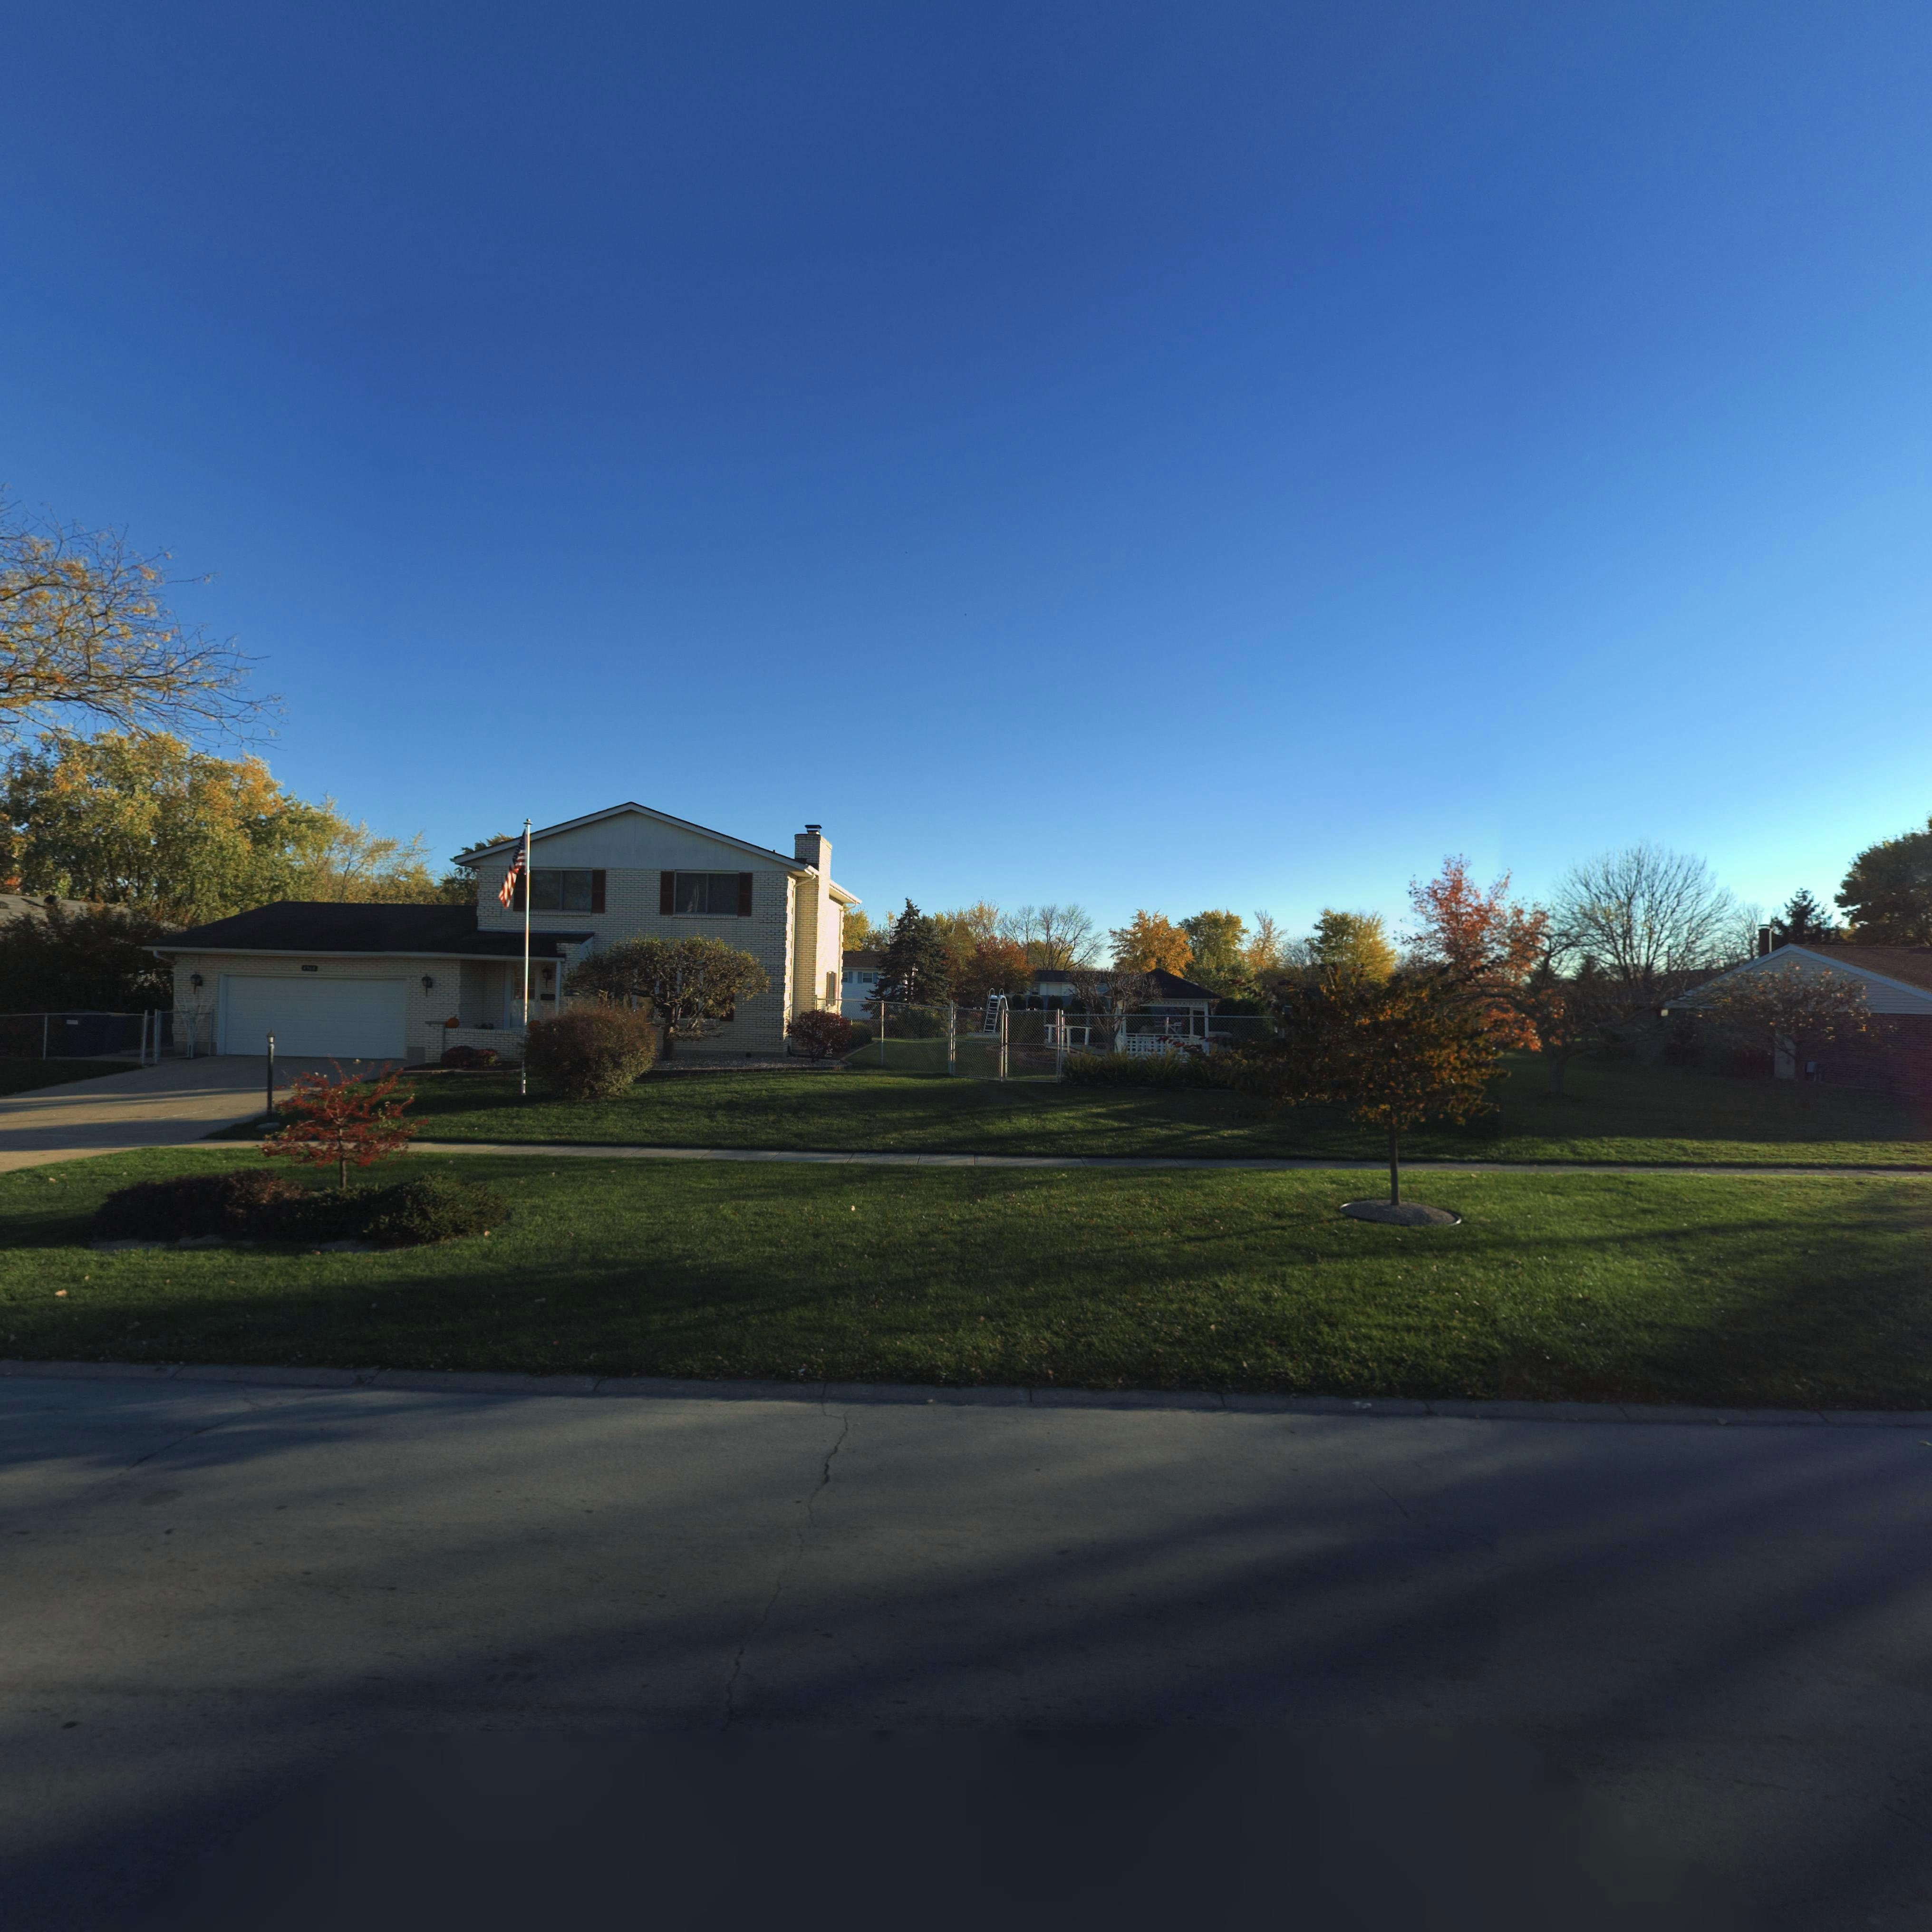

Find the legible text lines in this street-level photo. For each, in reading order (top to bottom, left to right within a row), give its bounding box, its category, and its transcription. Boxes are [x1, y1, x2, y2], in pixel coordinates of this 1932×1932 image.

[303, 965, 316, 971] StreetNumber: 49*0